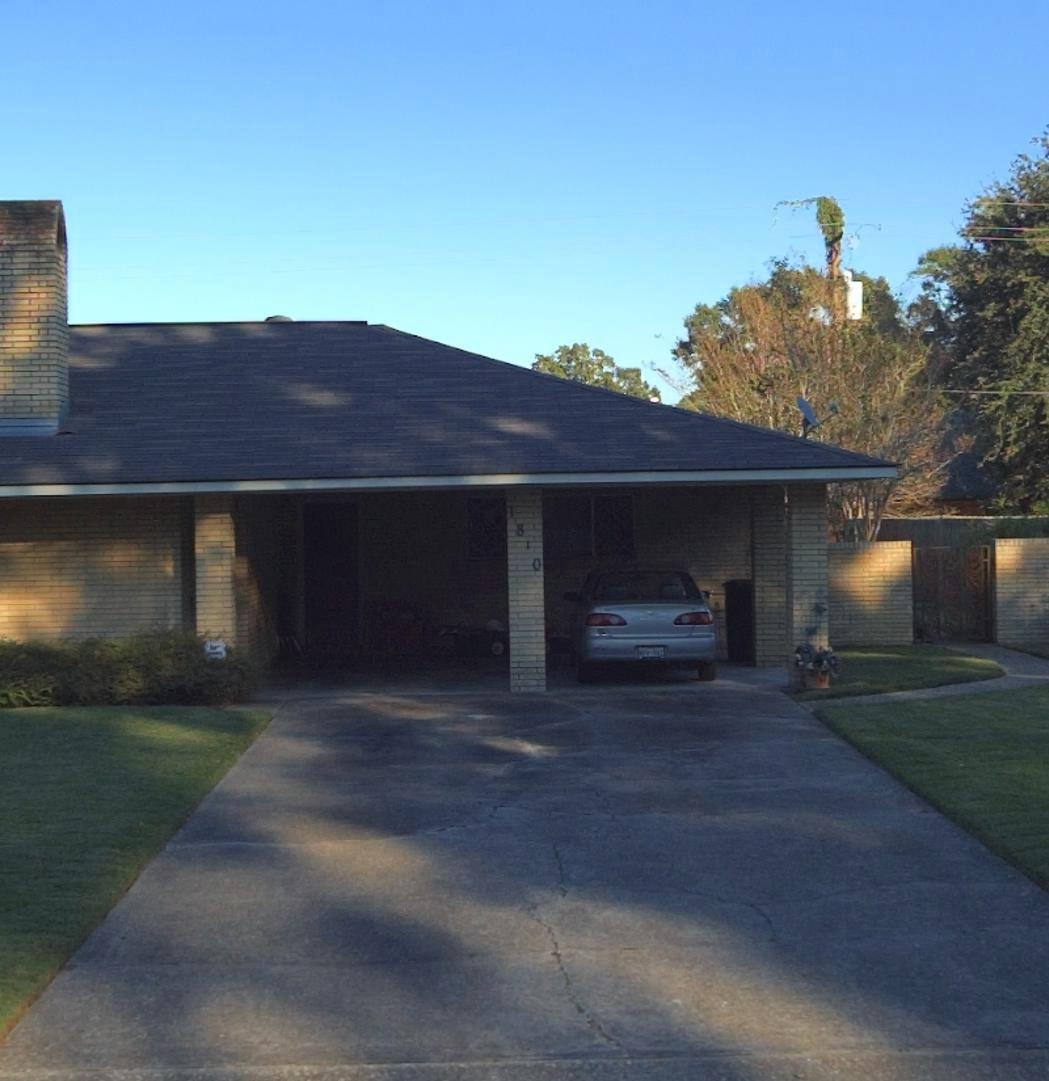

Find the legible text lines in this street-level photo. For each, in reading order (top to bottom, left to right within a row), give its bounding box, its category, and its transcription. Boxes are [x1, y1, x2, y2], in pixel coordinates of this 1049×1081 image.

[508, 504, 543, 573] StreetNumber: 1810